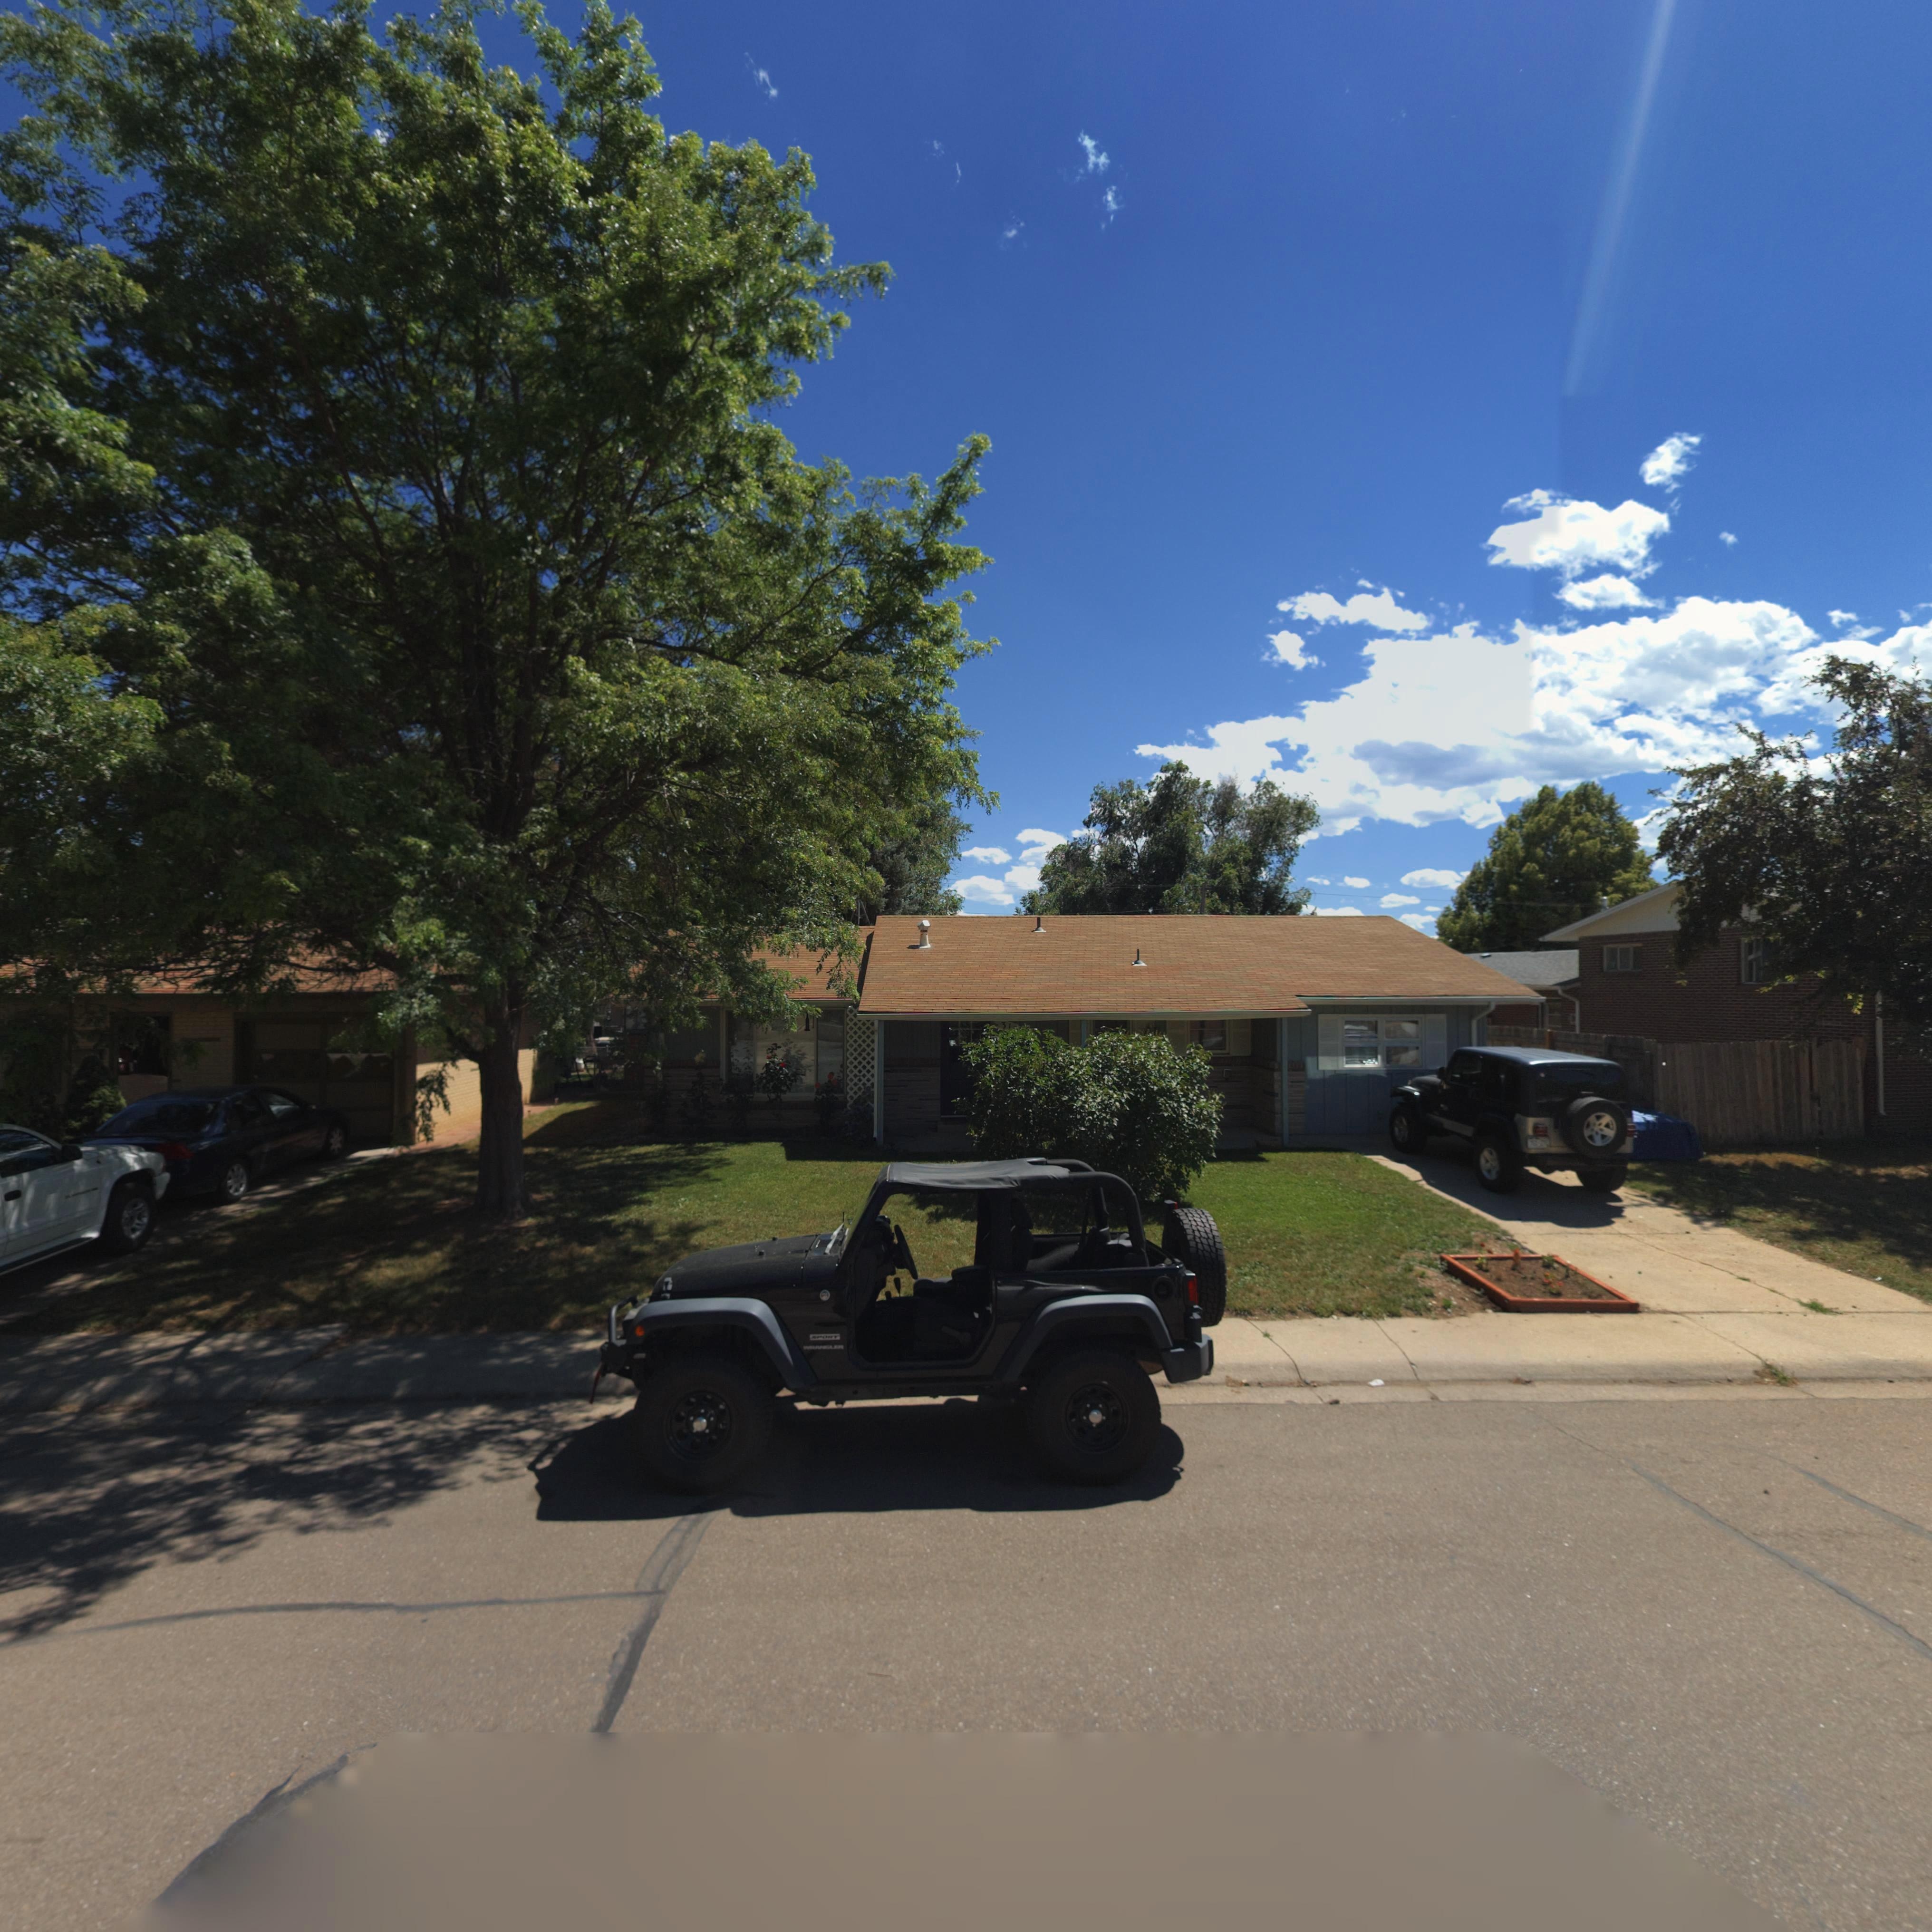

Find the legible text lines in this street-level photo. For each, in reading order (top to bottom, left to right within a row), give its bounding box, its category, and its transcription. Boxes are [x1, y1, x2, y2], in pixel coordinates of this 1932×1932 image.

[1001, 1021, 1011, 1030] StreetNumber: 31